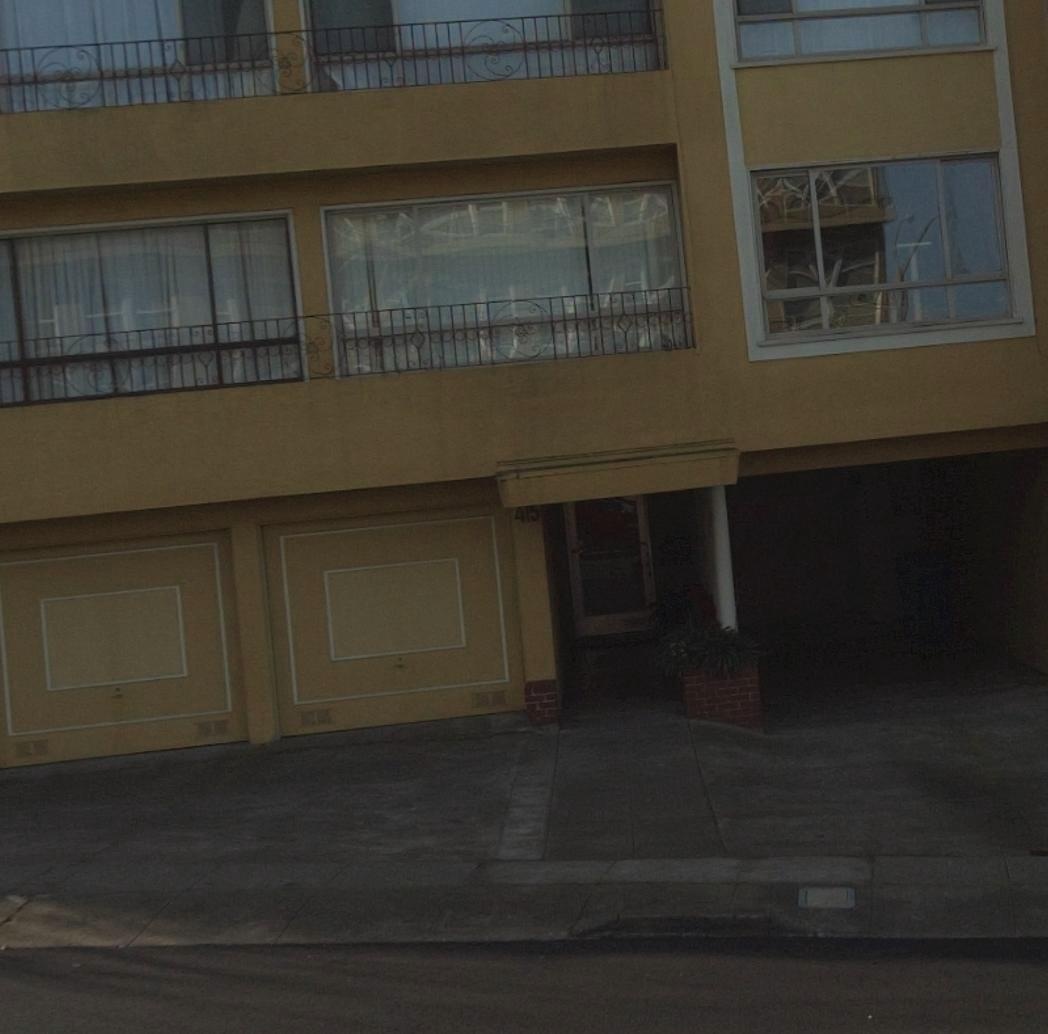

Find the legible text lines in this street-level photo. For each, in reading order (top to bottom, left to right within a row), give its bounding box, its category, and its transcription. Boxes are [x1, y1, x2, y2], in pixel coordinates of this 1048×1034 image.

[512, 502, 543, 526] StreetNumber: 41*